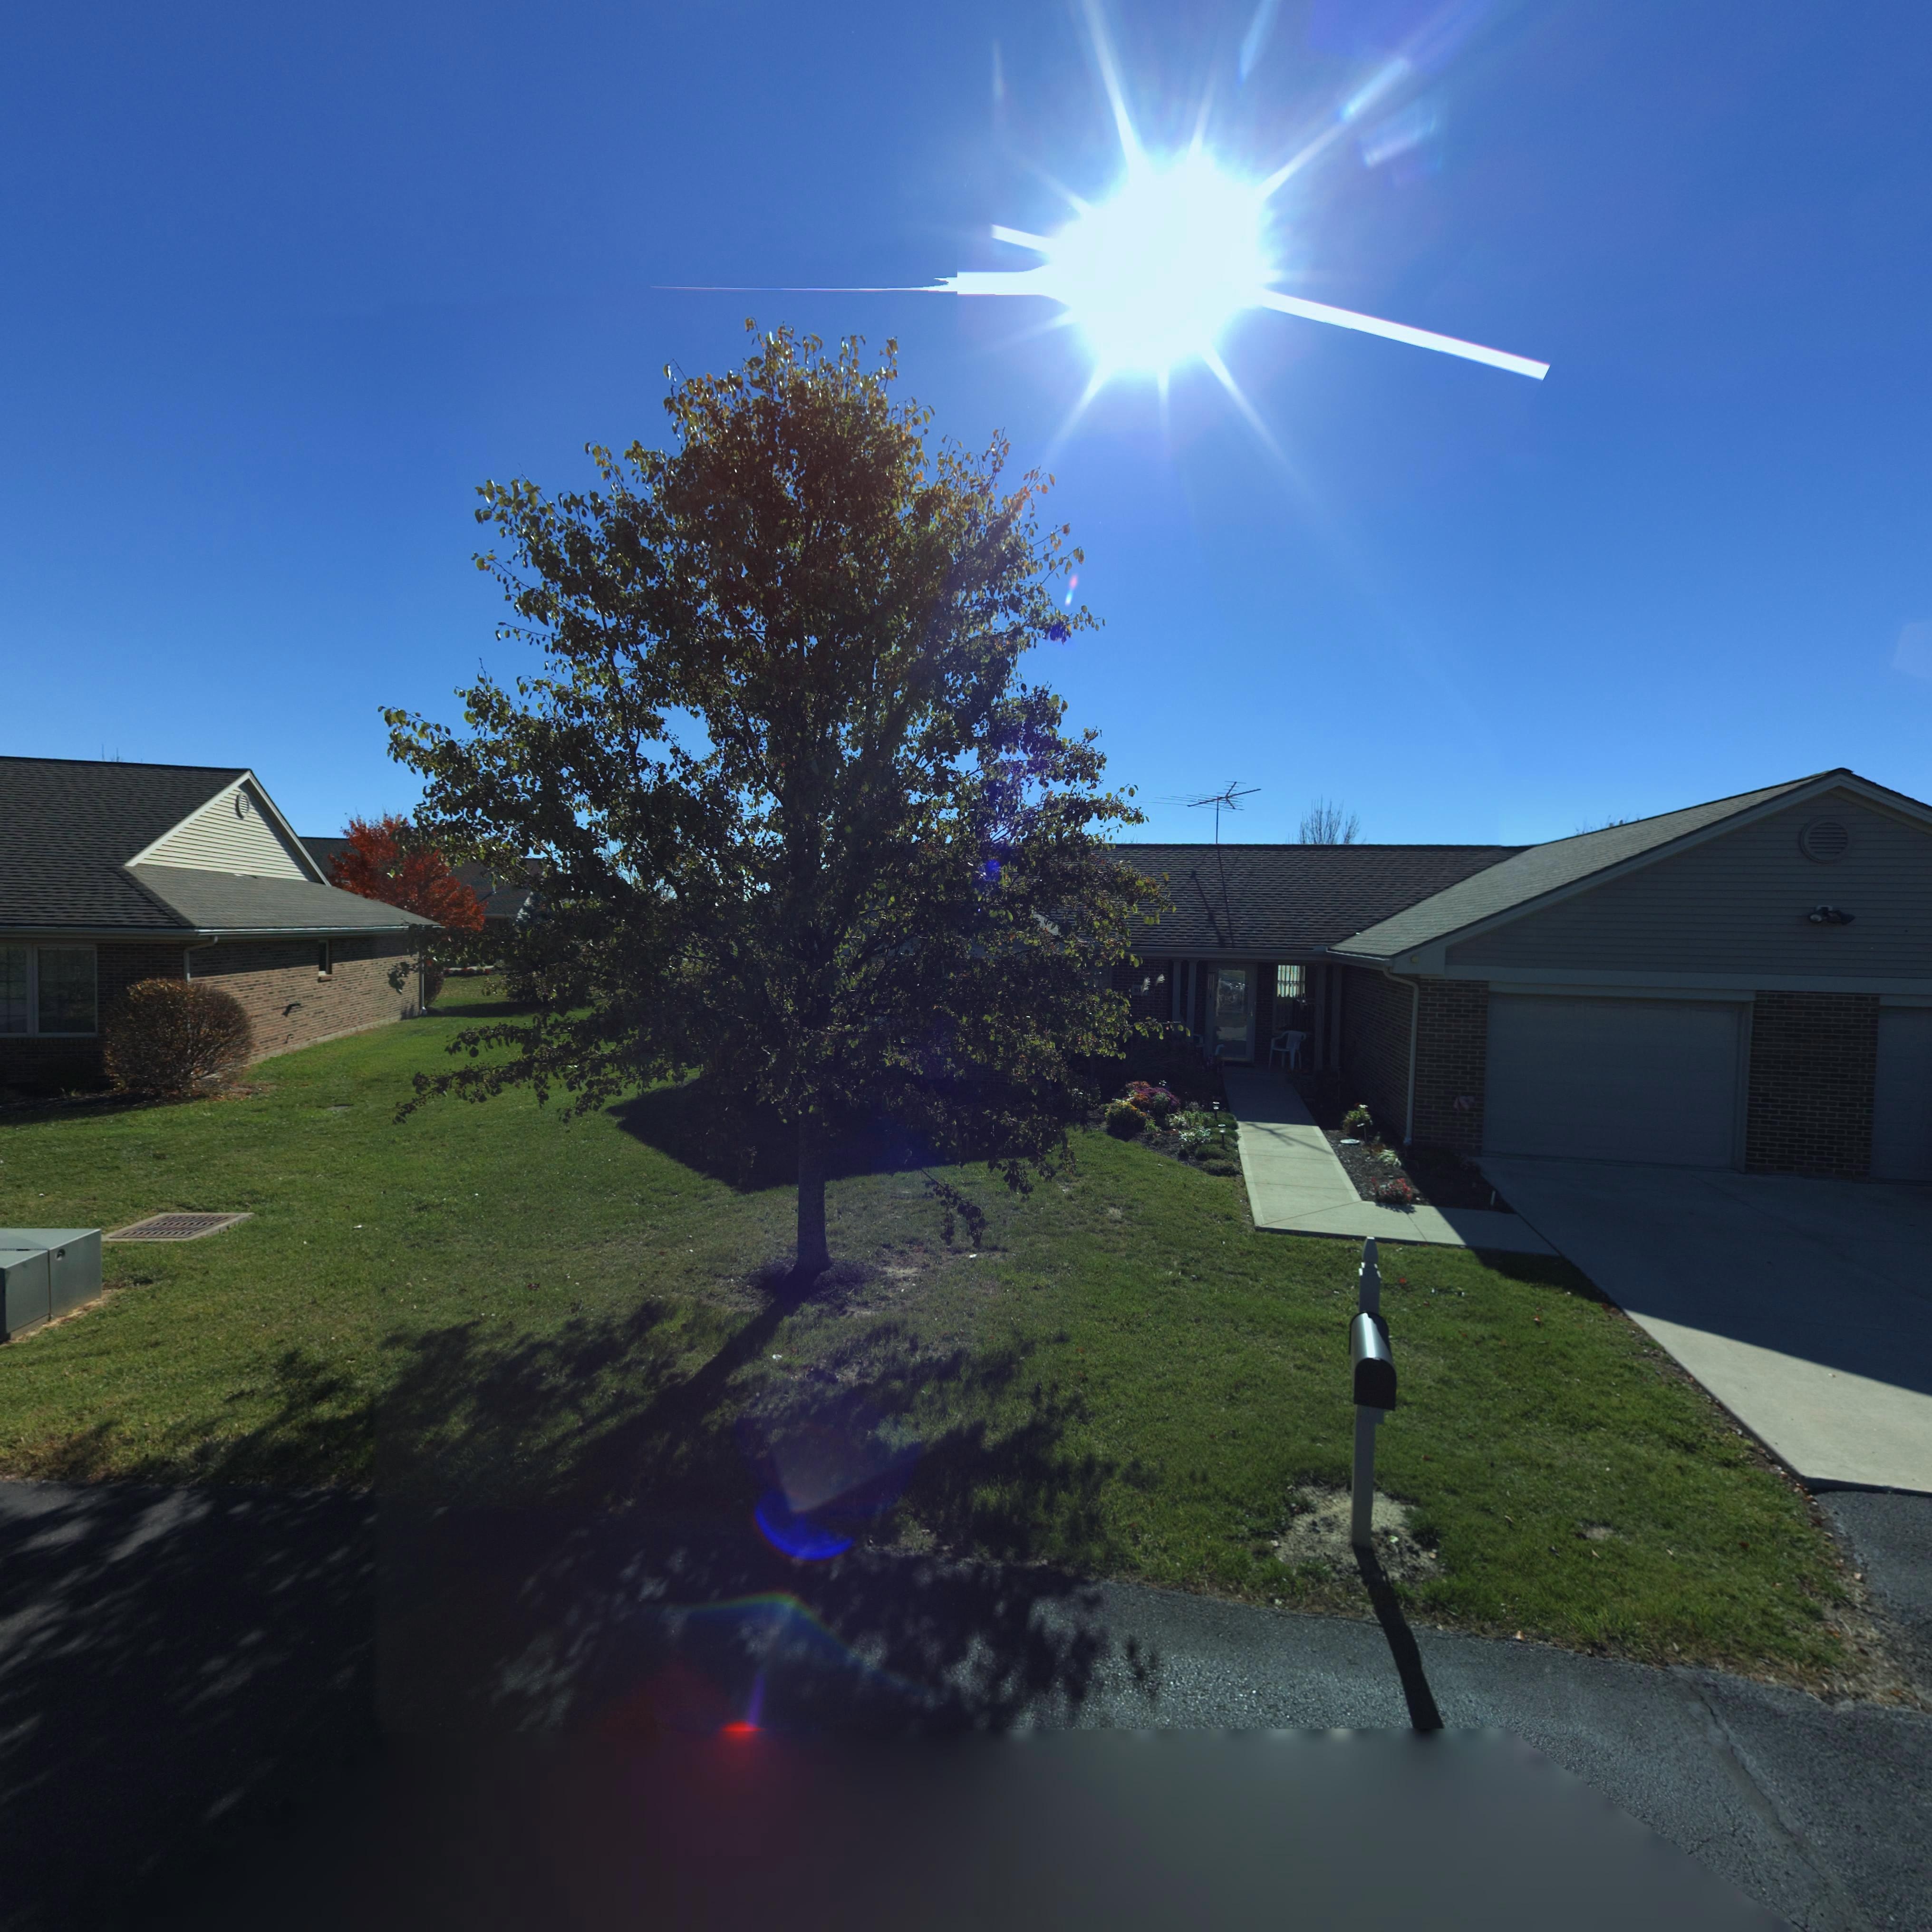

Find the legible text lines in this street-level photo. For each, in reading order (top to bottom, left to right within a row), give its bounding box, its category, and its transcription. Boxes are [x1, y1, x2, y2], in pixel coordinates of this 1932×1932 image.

[1134, 987, 1146, 993] StreetNumber: 81*